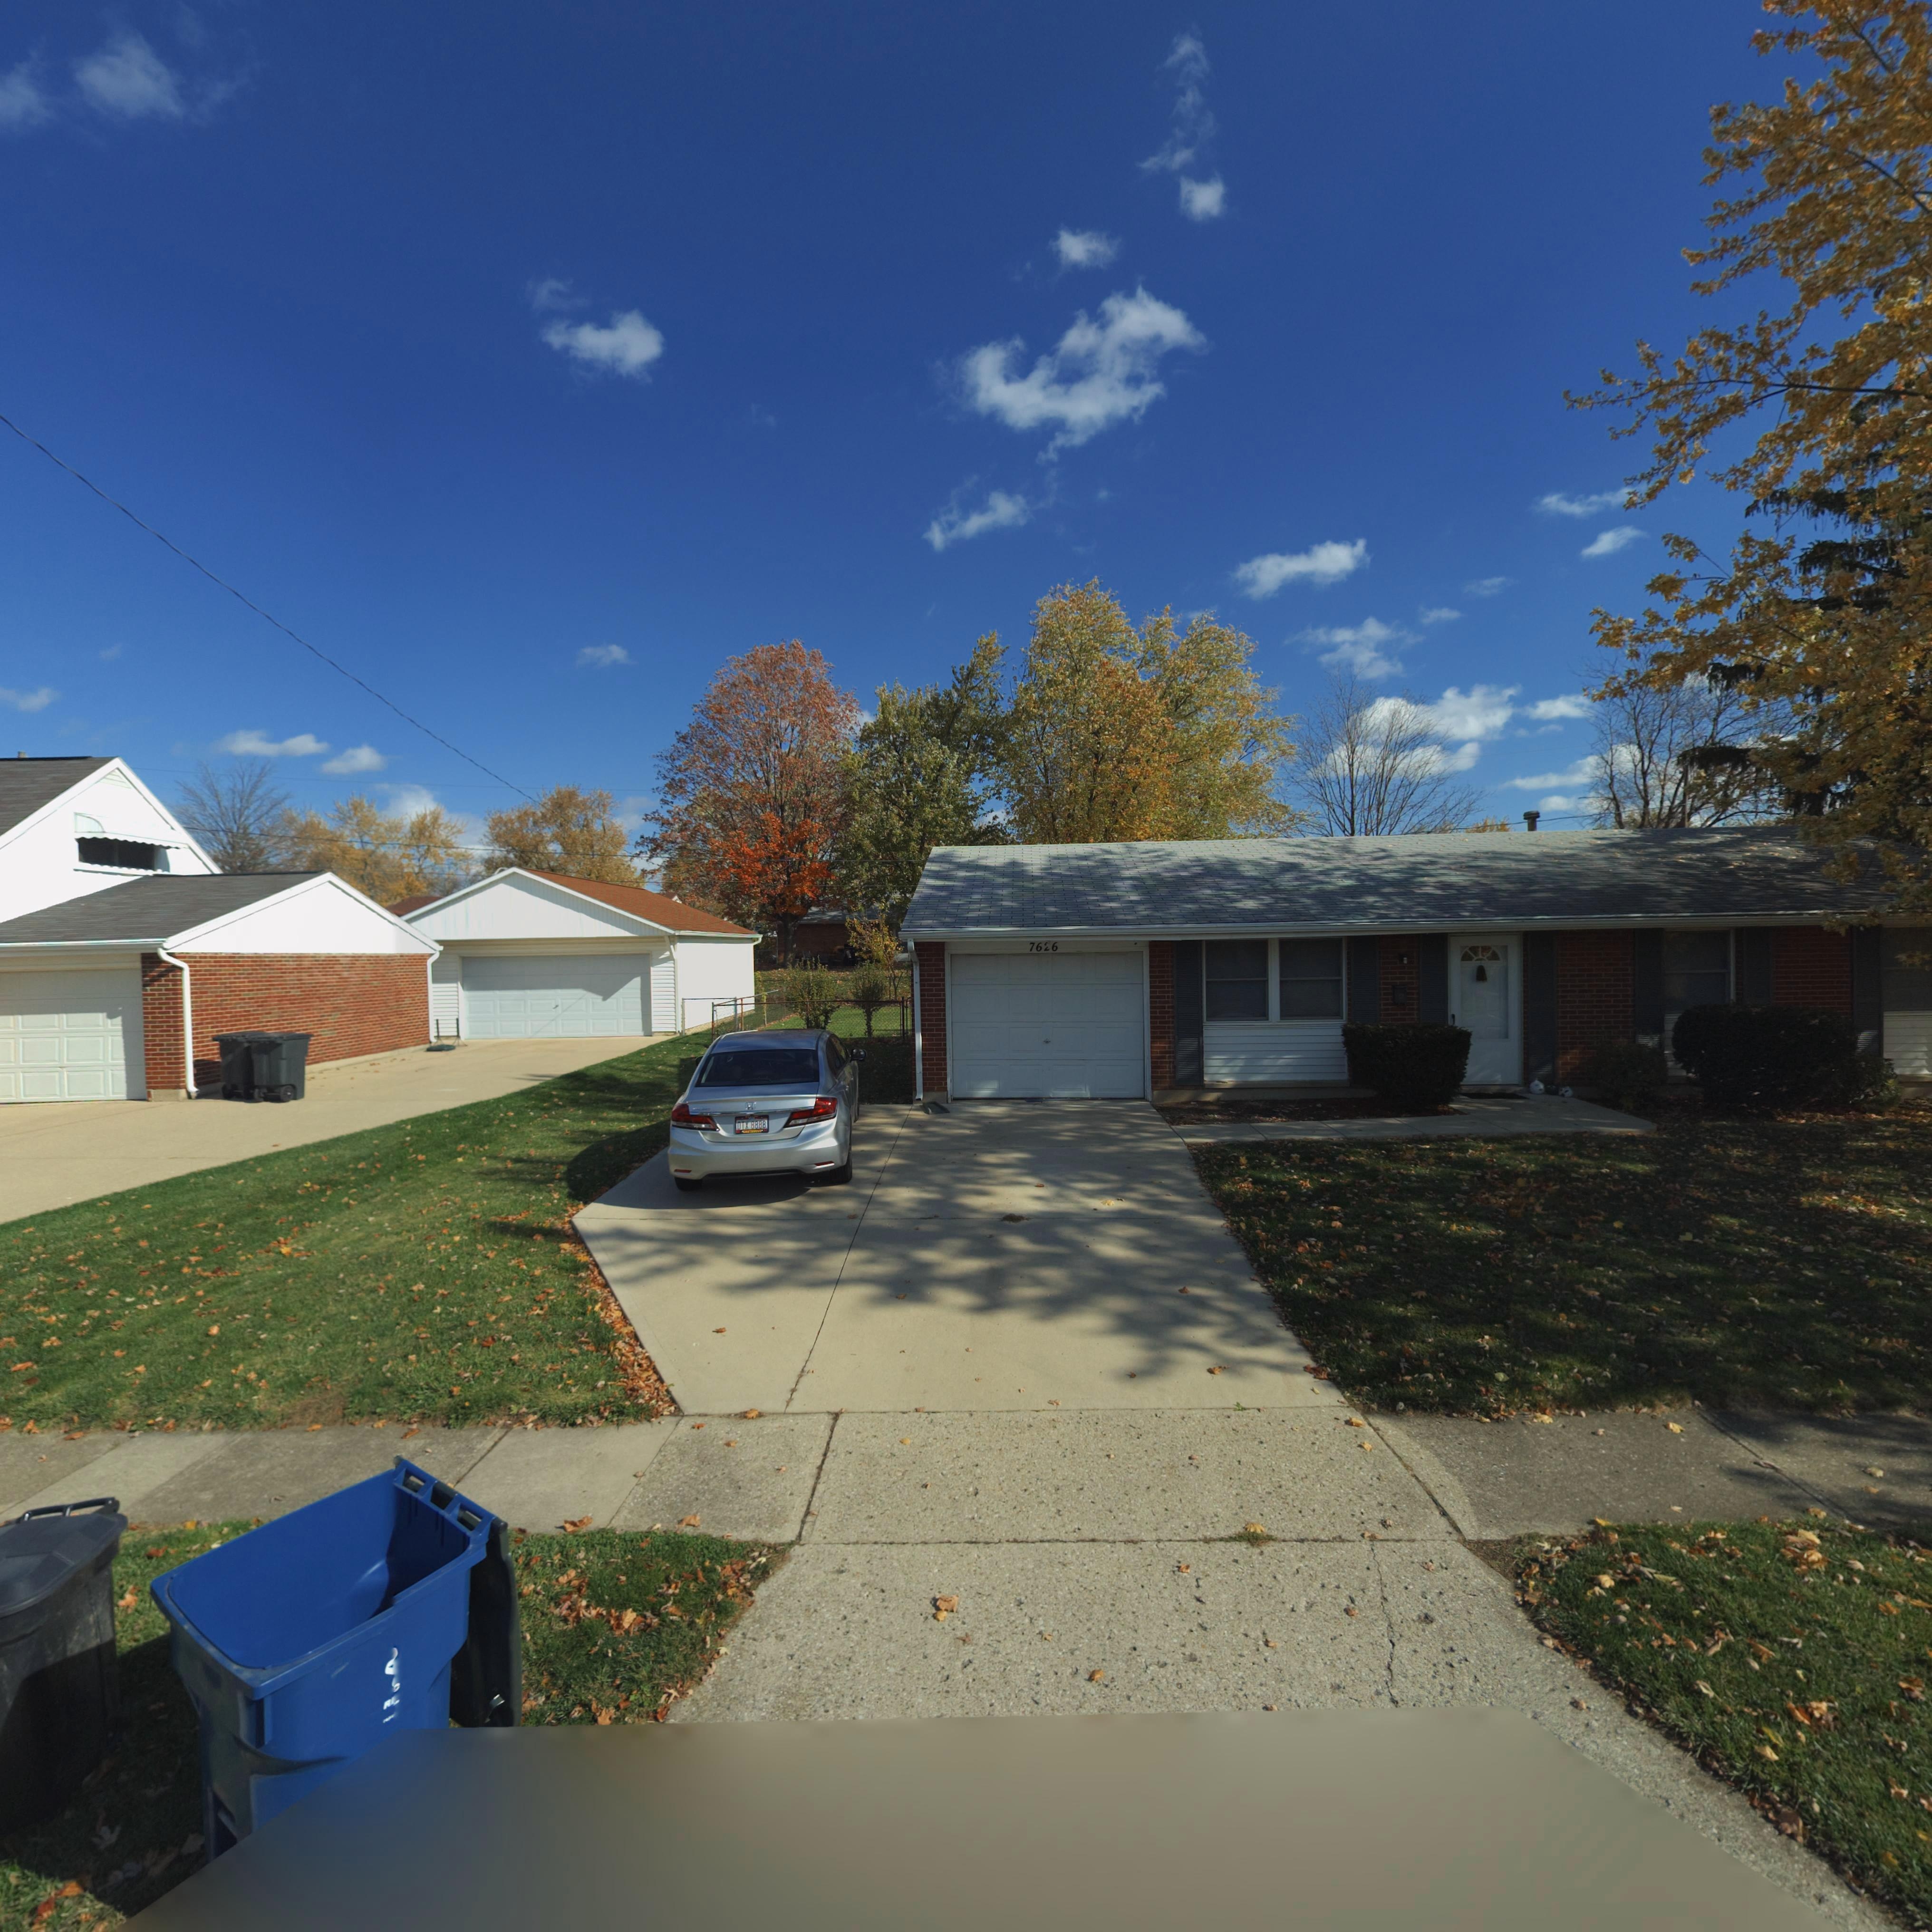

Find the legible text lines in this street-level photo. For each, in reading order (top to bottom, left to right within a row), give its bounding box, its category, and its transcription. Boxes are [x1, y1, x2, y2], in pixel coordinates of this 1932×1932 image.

[1029, 941, 1059, 952] StreetNumber: 7626